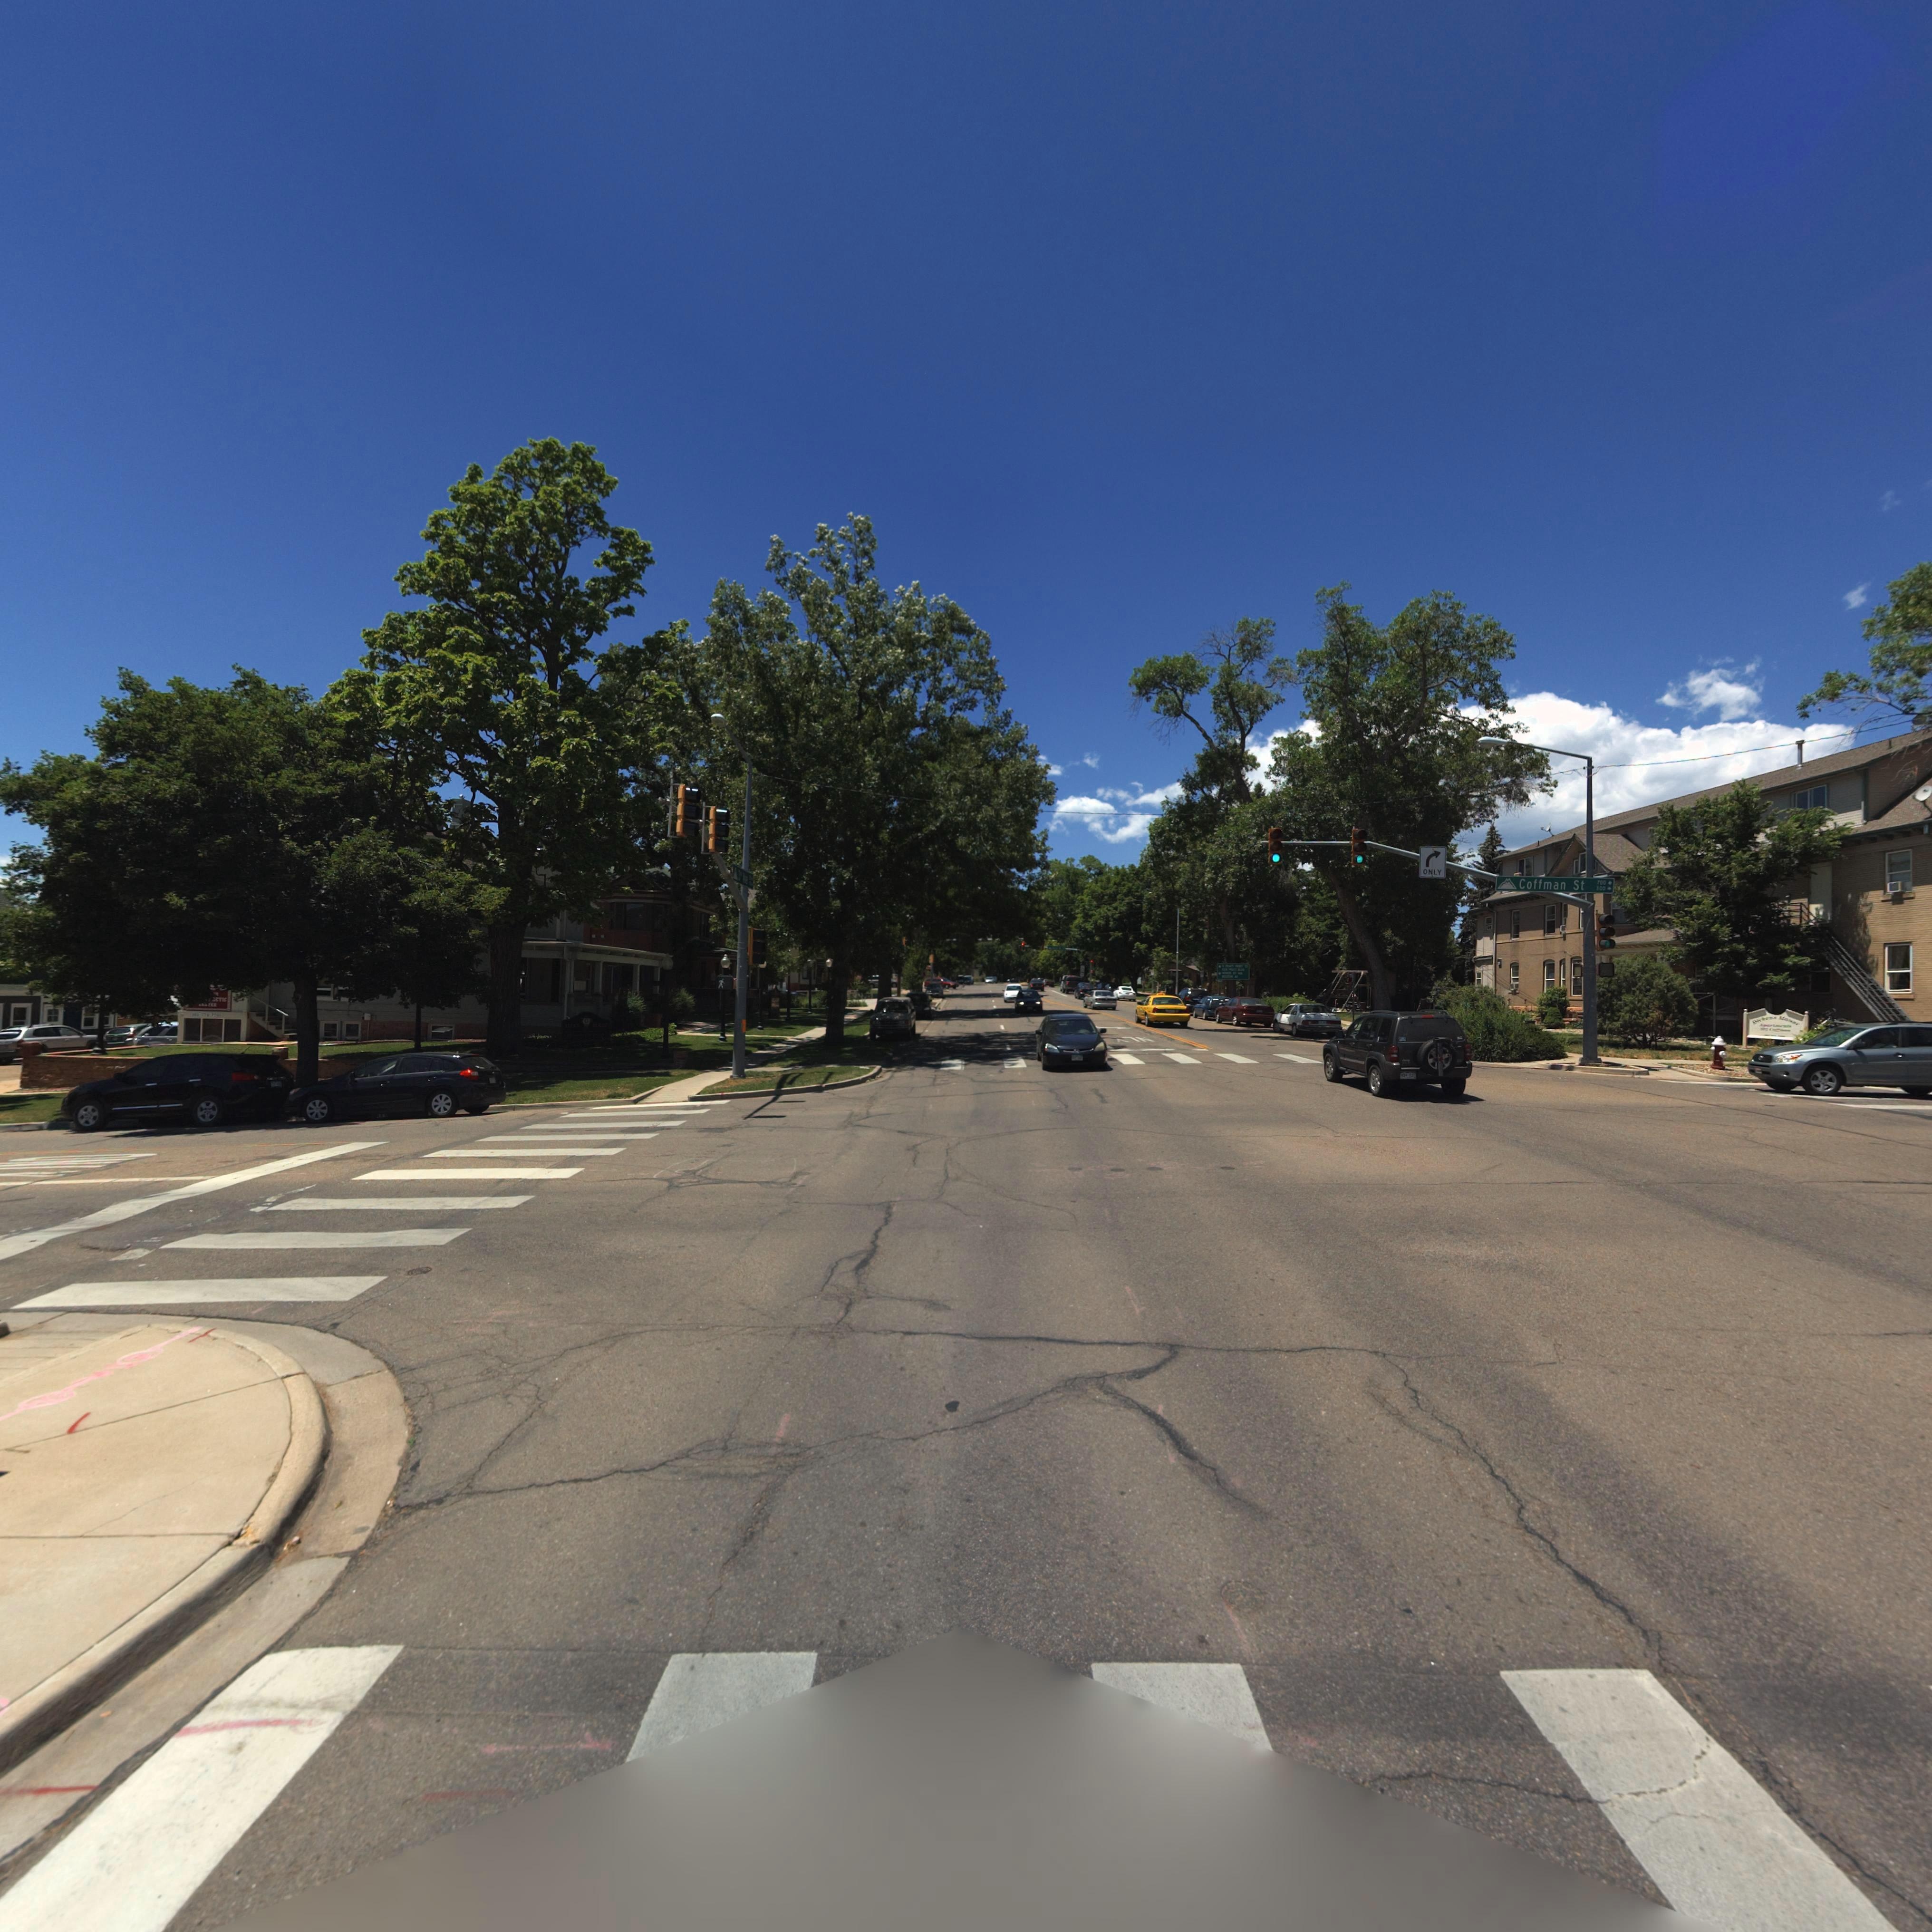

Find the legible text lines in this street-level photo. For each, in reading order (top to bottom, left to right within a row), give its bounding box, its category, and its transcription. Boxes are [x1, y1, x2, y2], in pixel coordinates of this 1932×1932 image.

[1519, 879, 1585, 891] StreetName: Coffman  St
[1596, 879, 1606, 885] StreetNumberRange: 700
[1596, 886, 1611, 890] StreetNumberRange: *00 ->